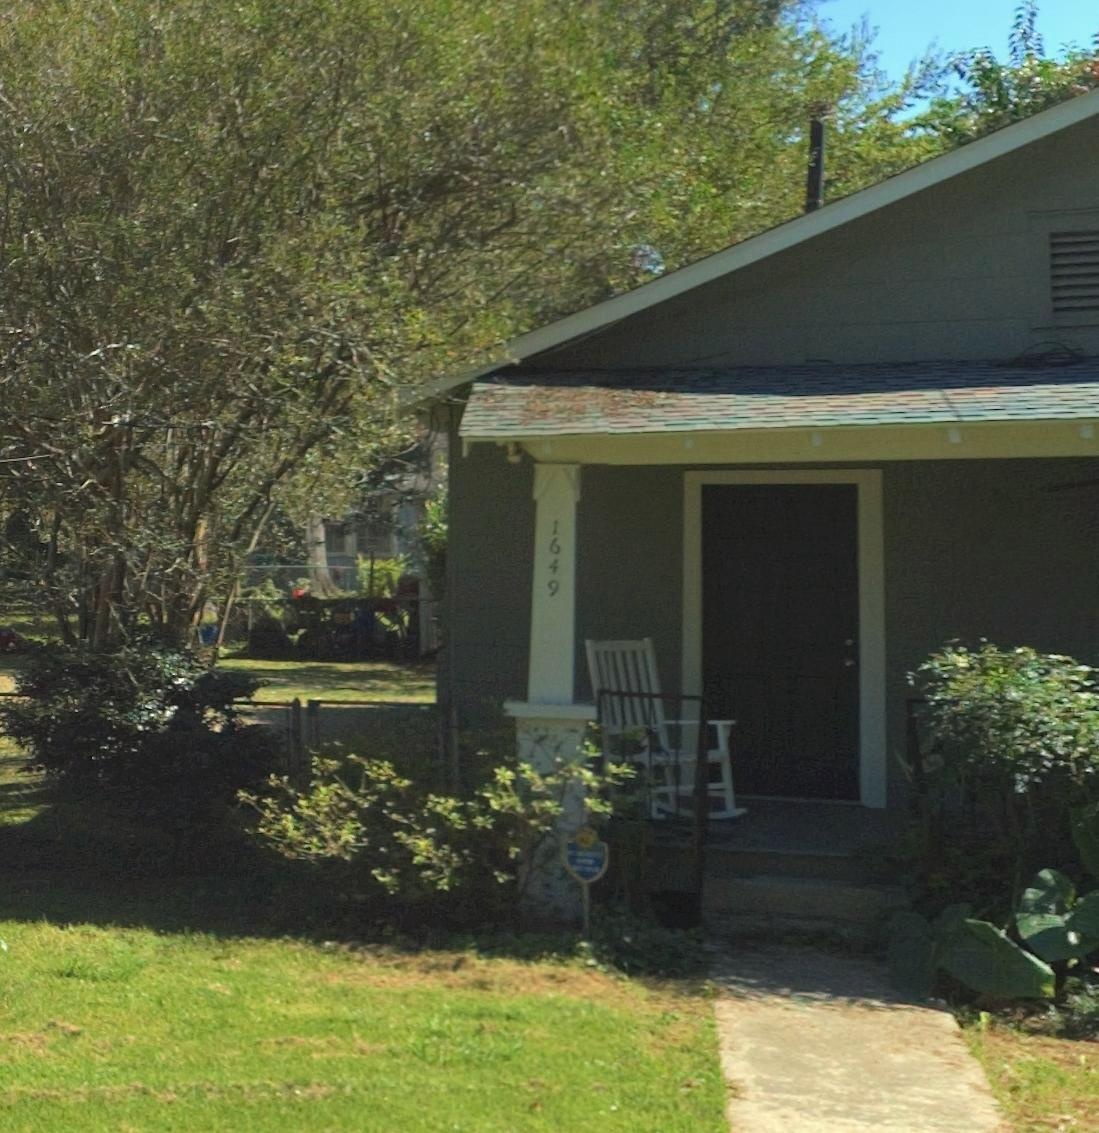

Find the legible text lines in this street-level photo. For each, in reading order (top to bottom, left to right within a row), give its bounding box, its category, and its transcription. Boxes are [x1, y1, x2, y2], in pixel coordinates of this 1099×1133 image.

[544, 516, 563, 600] StreetNumber: 1649